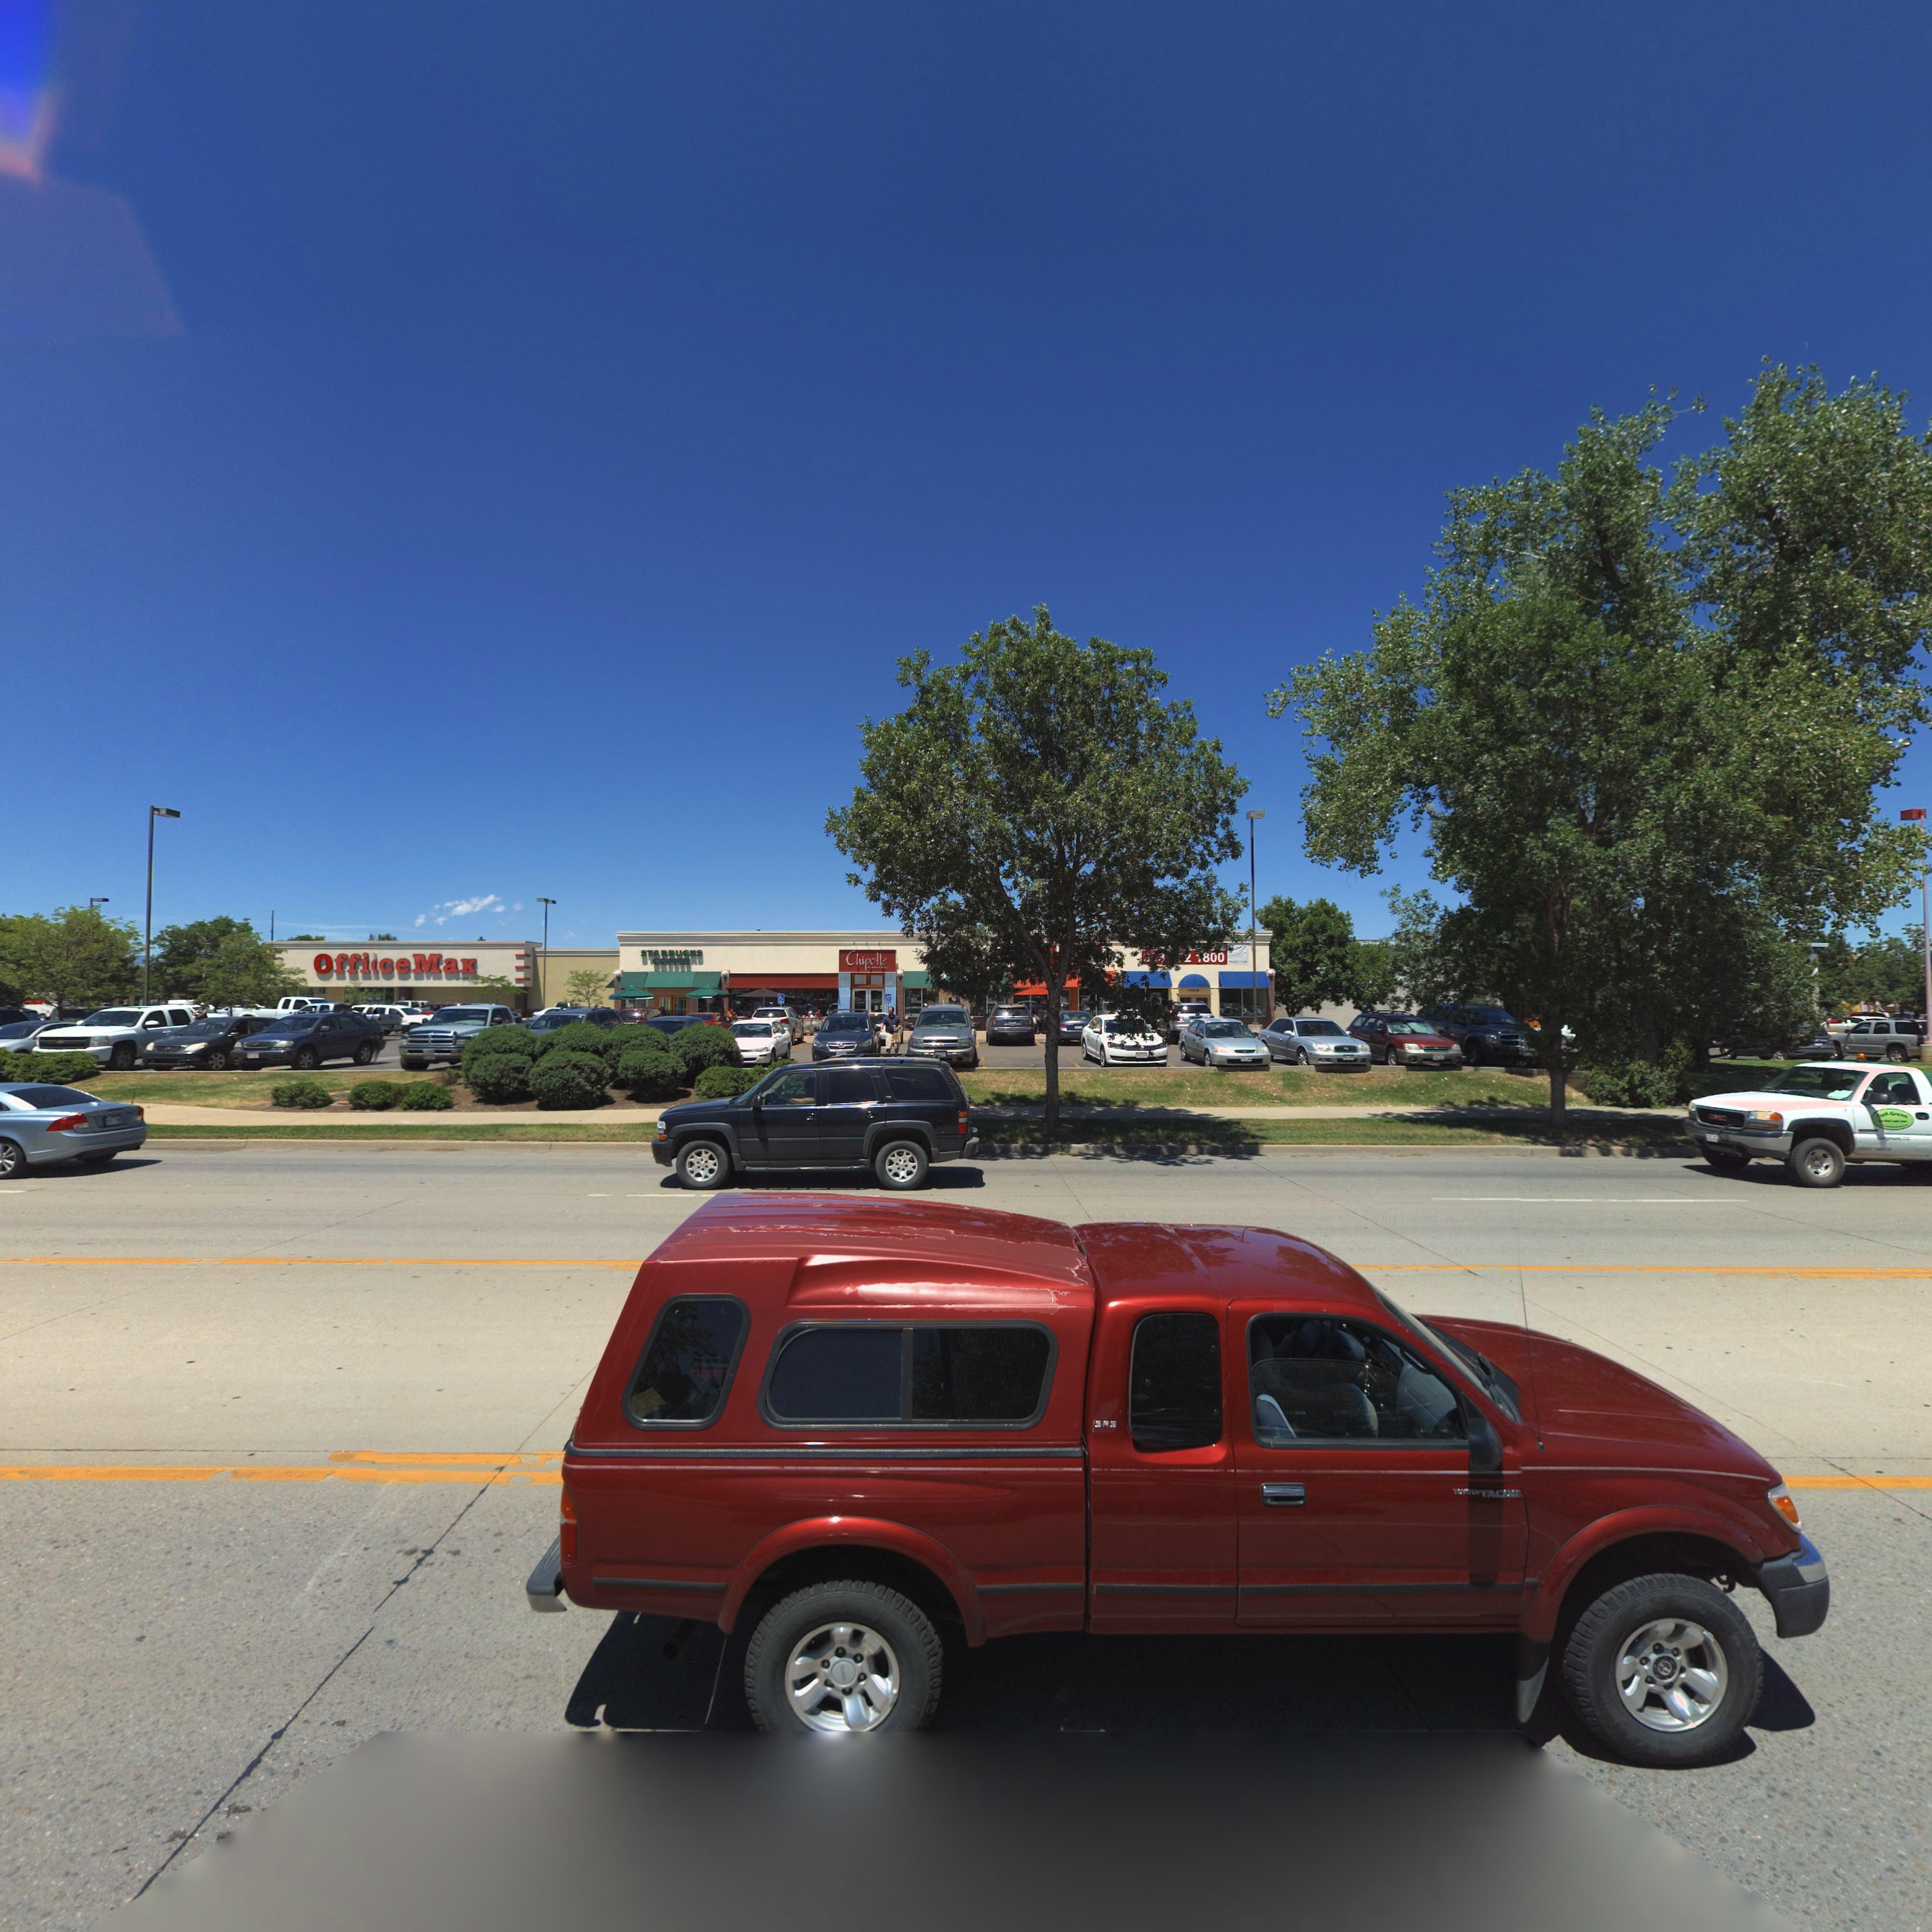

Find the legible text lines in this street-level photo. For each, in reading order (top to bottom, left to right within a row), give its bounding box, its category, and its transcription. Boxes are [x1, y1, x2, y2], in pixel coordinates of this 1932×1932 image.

[640, 949, 702, 956] BusinessName: STARBUCKS
[313, 952, 477, 974] BusinessName: Offi*ceMax
[652, 958, 690, 965] BusinessName: COFFEE
[845, 949, 888, 969] BusinessName: Chipotle
[1188, 988, 1199, 992] StreetNumber: 110**